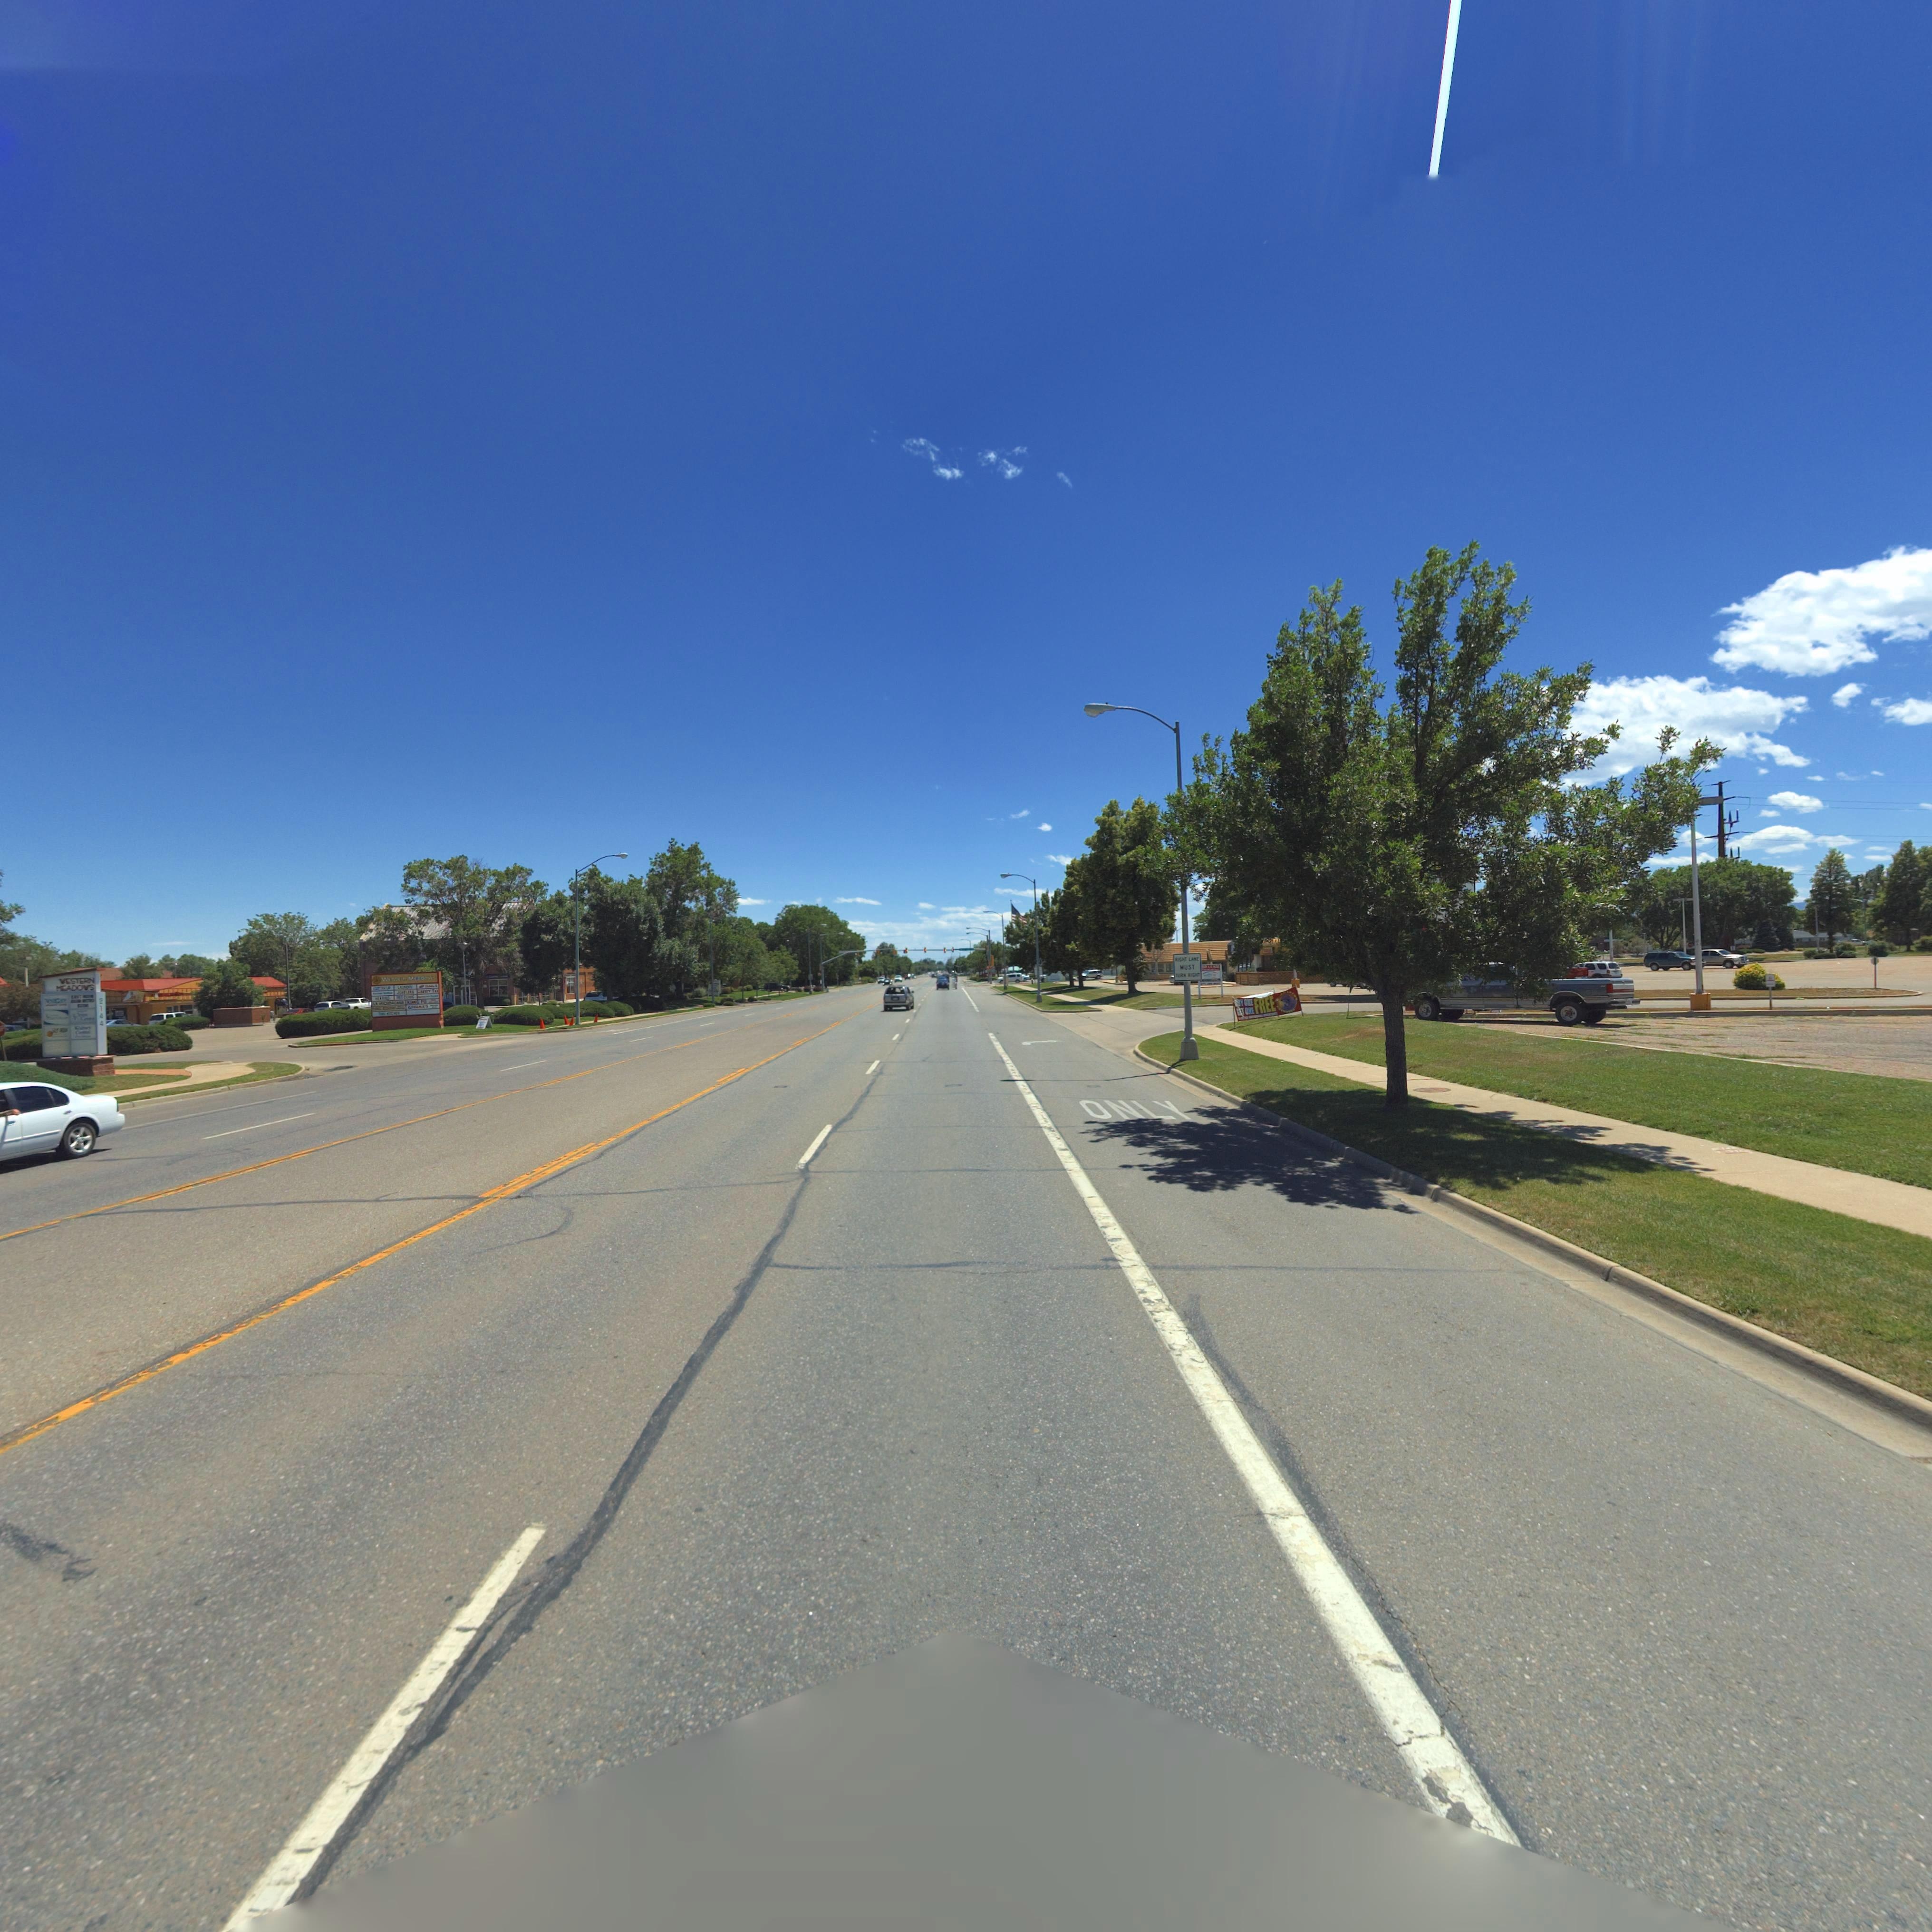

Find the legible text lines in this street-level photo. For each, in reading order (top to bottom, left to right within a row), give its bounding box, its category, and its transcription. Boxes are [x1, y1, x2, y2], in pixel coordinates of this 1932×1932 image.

[1264, 948, 1271, 953] BusinessName: ***y
[417, 988, 438, 994] BusinessName: Li****Y T**
[44, 998, 67, 1004] BusinessName: N***C***
[98, 997, 104, 1027] StreetNumber: 2144